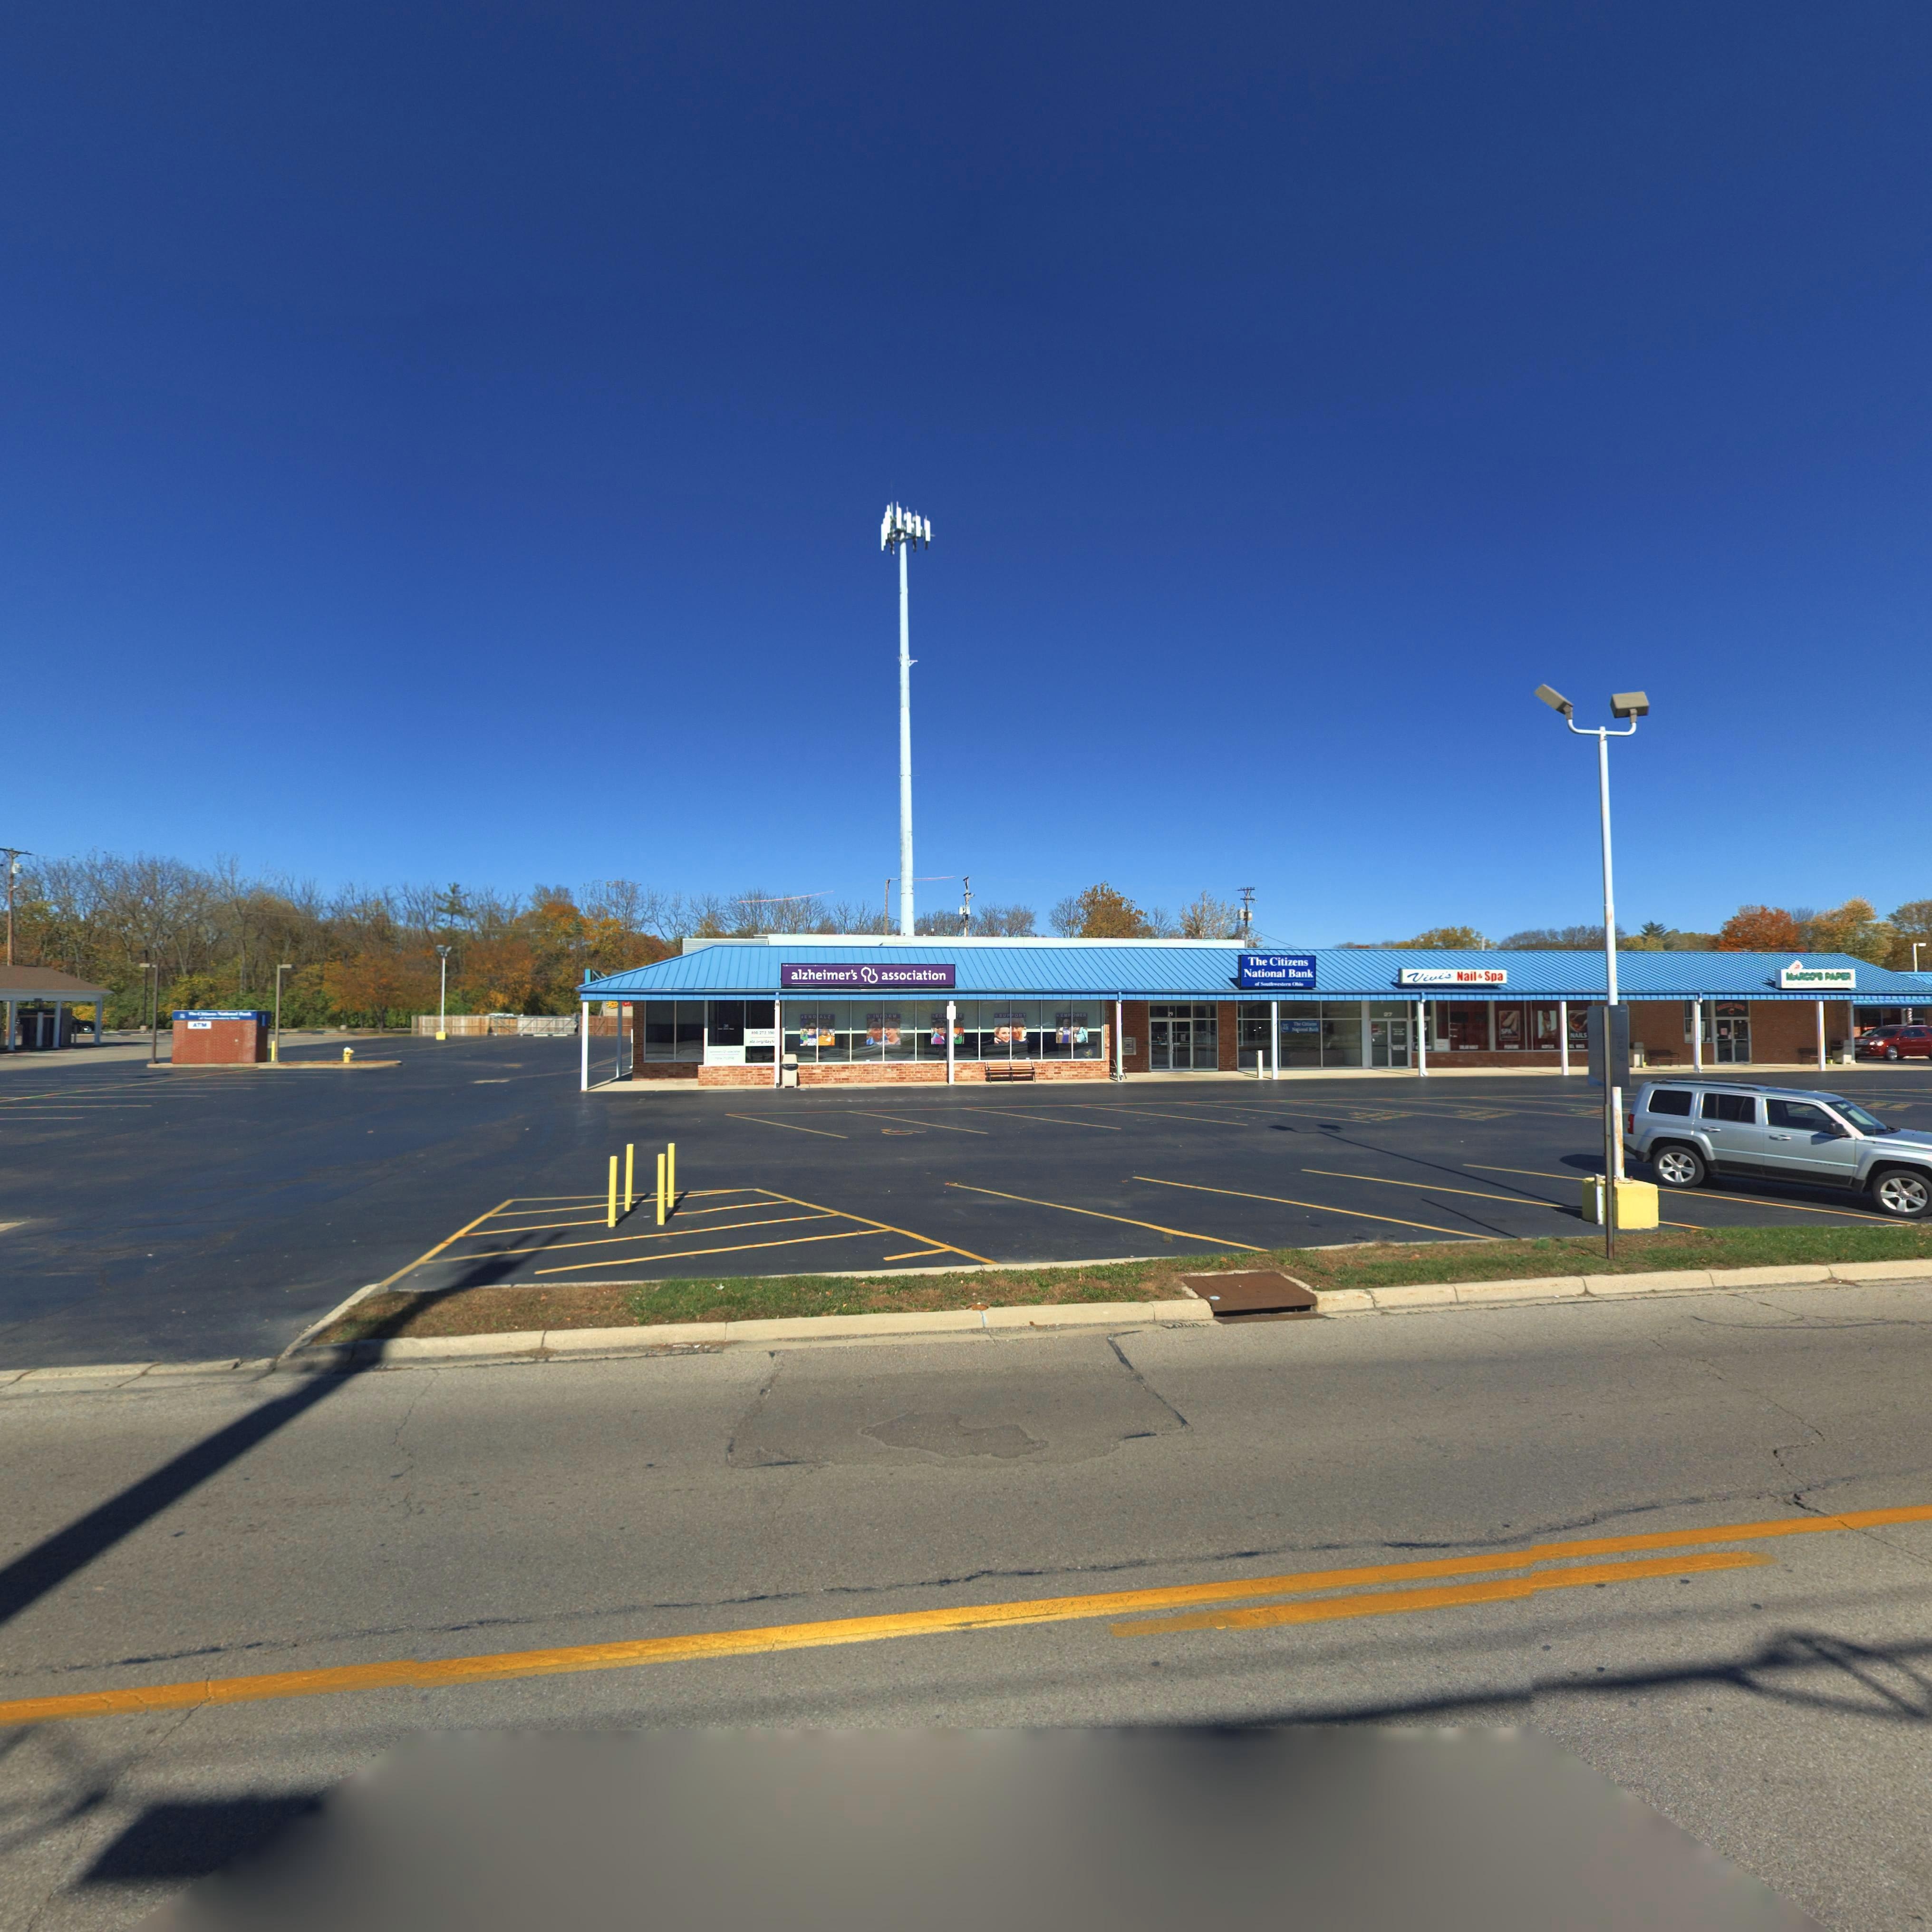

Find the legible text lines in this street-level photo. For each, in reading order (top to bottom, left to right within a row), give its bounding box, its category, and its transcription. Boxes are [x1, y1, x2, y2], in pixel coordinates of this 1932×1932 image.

[1246, 956, 1309, 967] BusinessName: The Citizens
[791, 968, 947, 981] BusinessName: alzheimer's * association
[1243, 968, 1314, 978] BusinessName: National Bank
[1406, 970, 1504, 983] BusinessName: Vivi's Nail & Spa
[1785, 971, 1853, 981] BusinessName: M*RCO'S PAPER
[1254, 981, 1304, 987] None: of Southwestern Ohio
[622, 1000, 628, 1007] None: C
[803, 1014, 831, 1019] None: END*ALZ
[873, 1014, 897, 1019] None: IMFORM
[935, 1013, 963, 1018] None: EDU**TE
[998, 1013, 1026, 1018] None: SUP*ORT
[1060, 1013, 1087, 1018] None: EMPOWER
[1167, 1011, 1174, 1017] StreetNumber: 29
[1383, 1012, 1394, 1017] StreetNumber: 27
[192, 1023, 207, 1027] None: ATM
[1282, 1023, 1289, 1027] None: TC
[1292, 1021, 1306, 1027] BusinessName: The C
[1500, 1028, 1513, 1034] None: SPA
[1570, 1032, 1588, 1039] None: NAILS